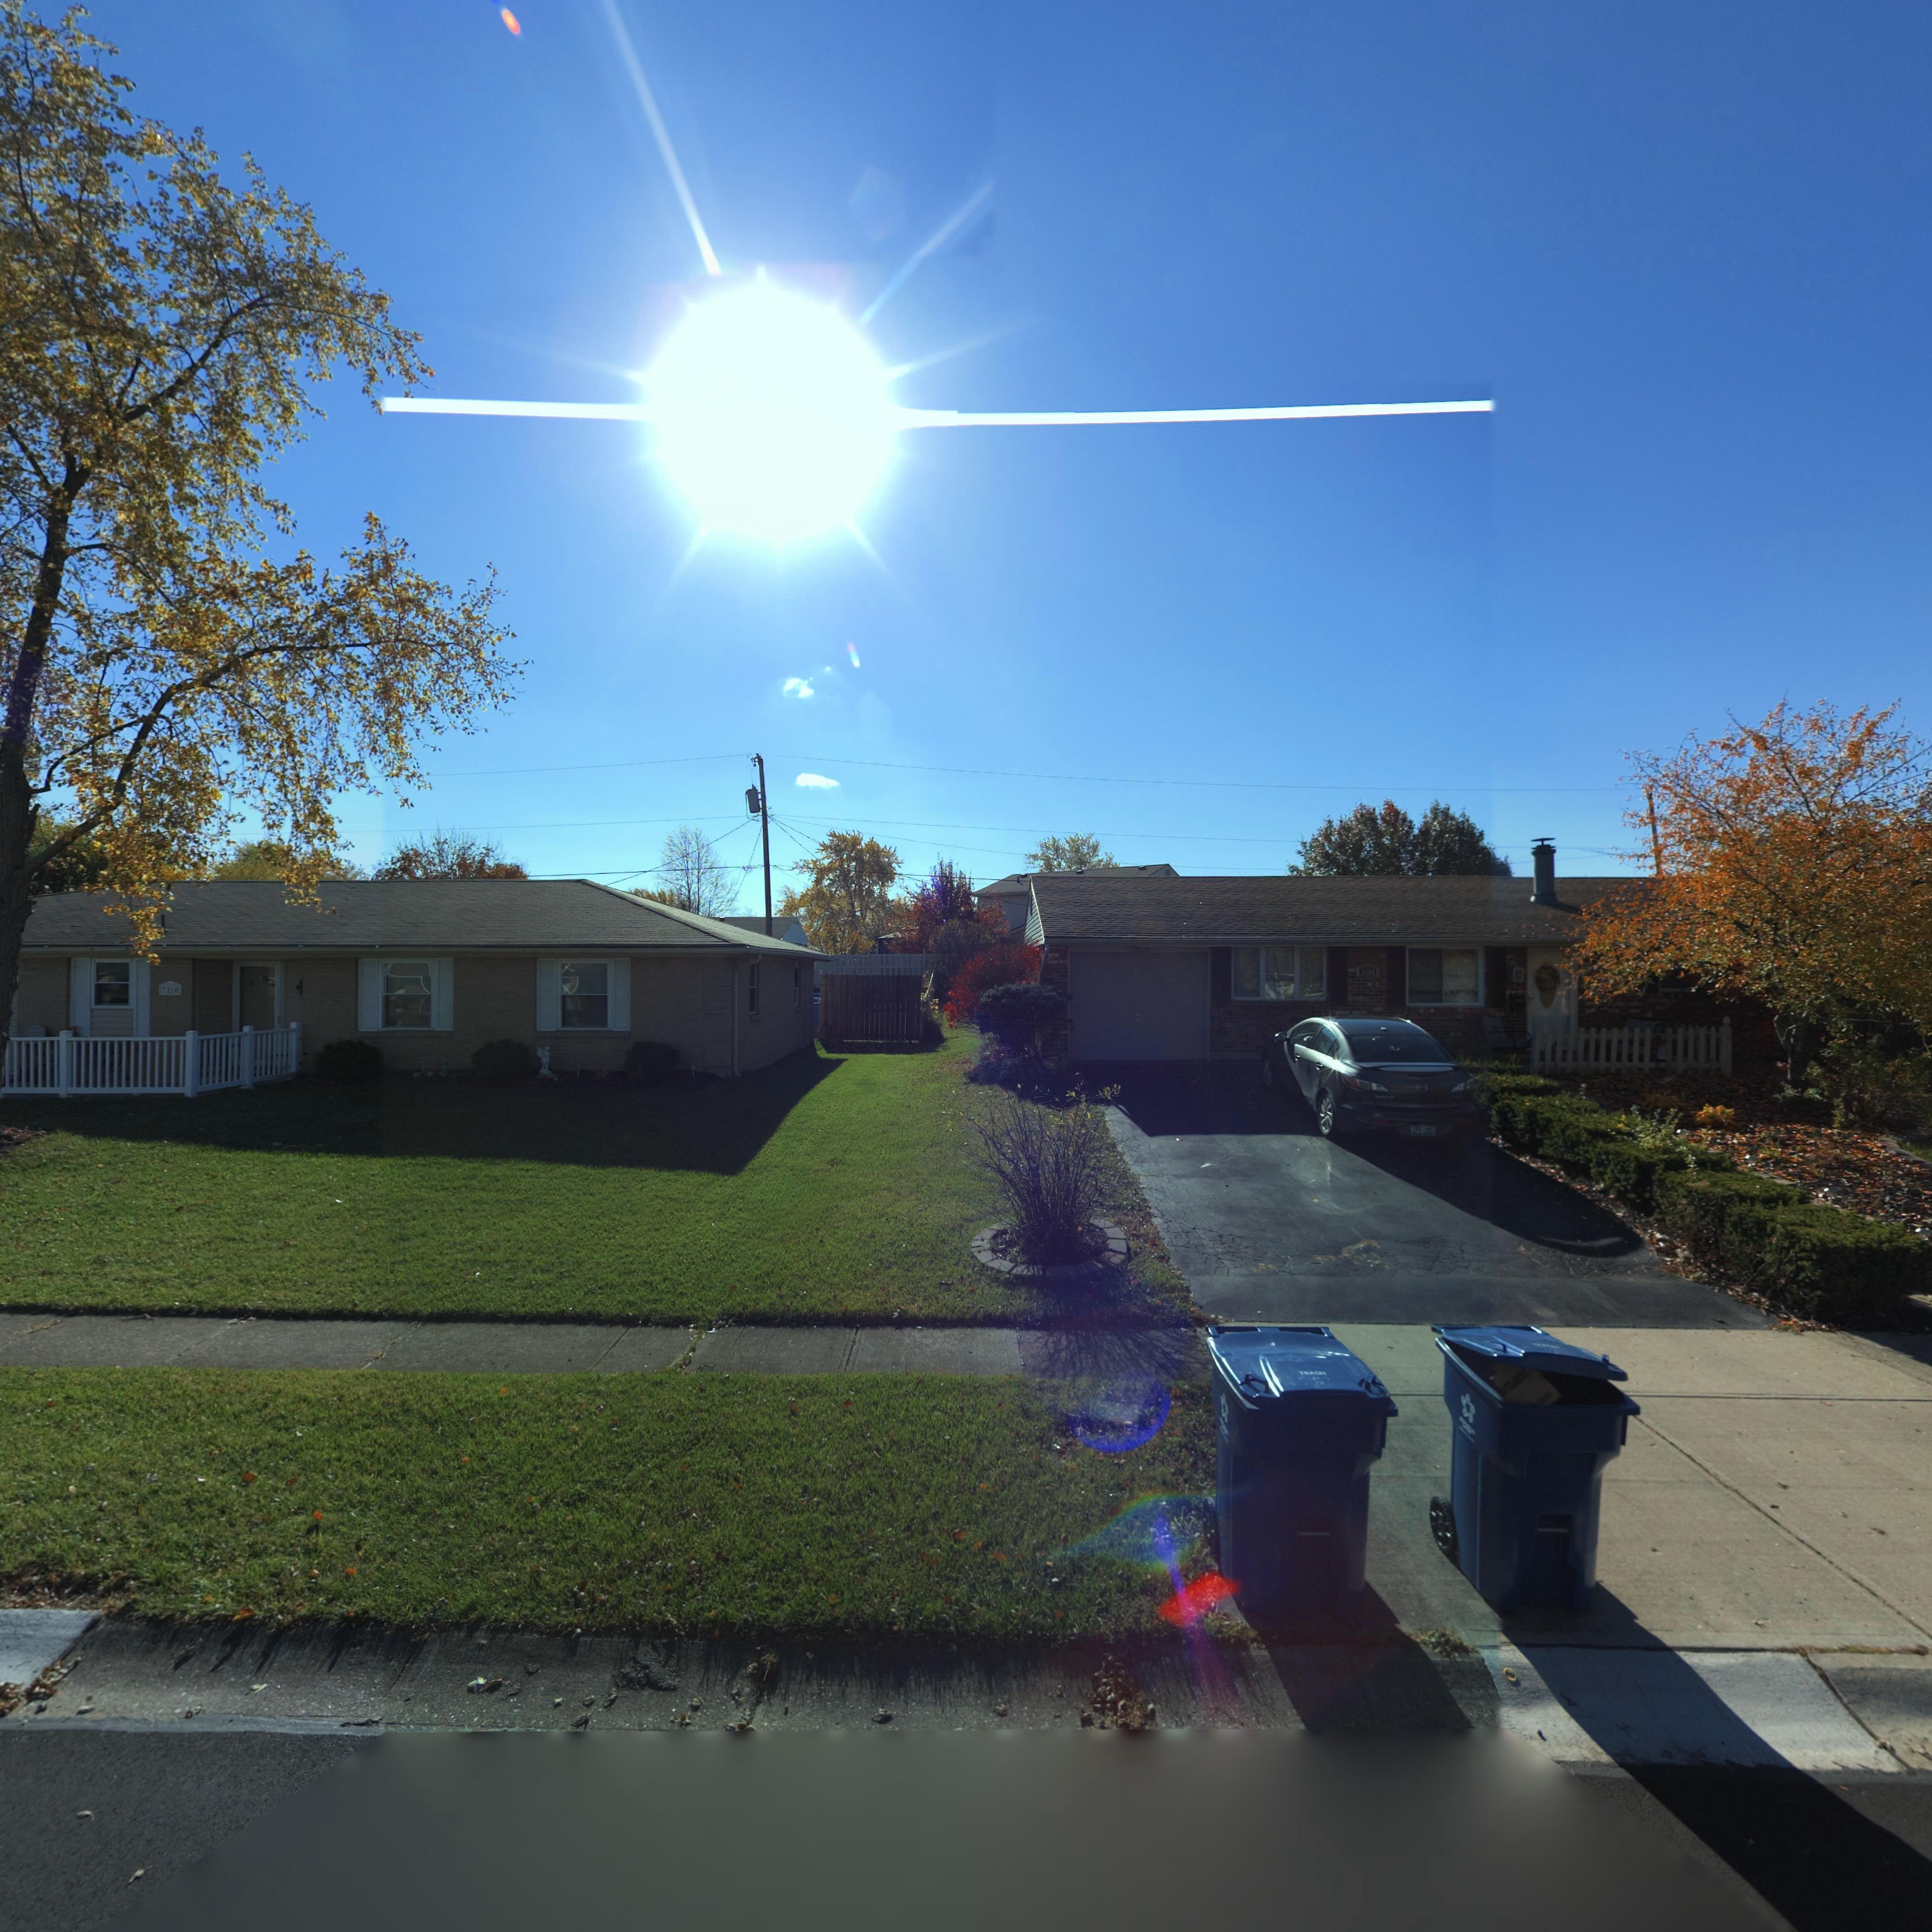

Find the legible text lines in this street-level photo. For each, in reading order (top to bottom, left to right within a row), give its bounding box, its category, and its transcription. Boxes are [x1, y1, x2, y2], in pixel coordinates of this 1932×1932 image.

[1361, 969, 1376, 976] StreetNumber: 7206
[162, 986, 179, 994] StreetNumber: 7210